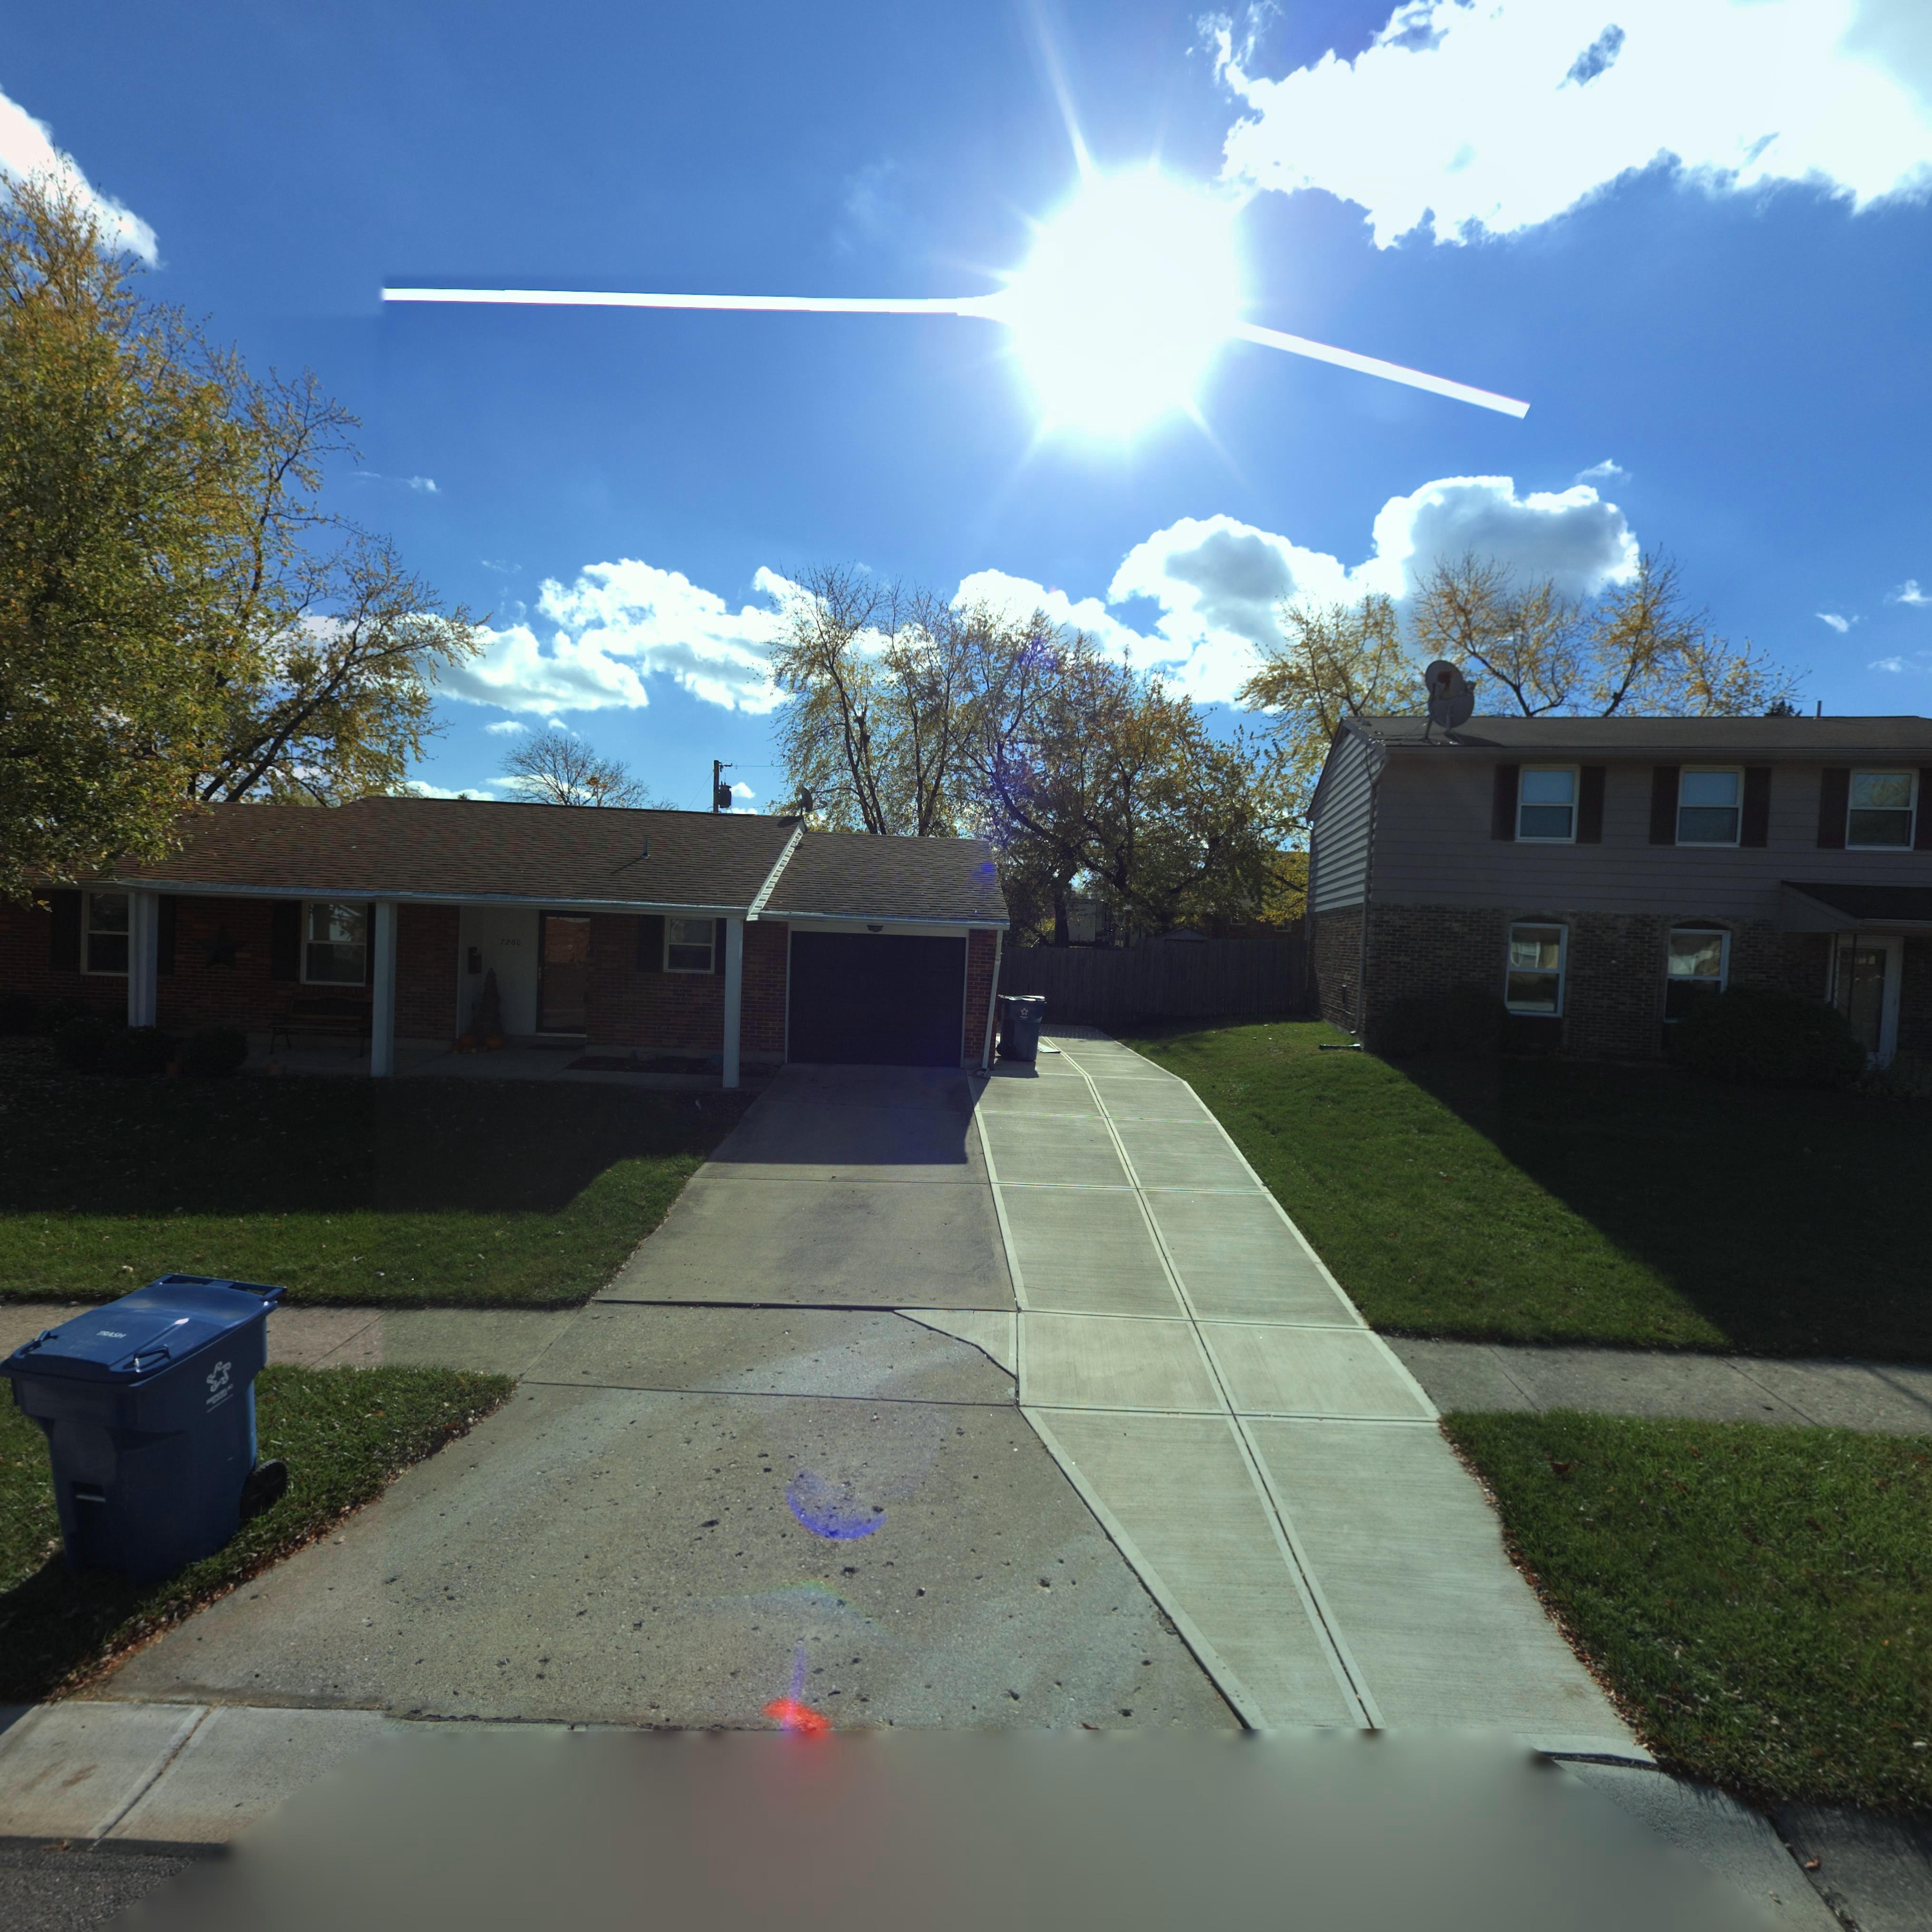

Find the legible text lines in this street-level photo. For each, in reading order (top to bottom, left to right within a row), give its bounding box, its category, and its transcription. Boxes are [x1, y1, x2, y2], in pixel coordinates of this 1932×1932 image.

[499, 938, 522, 947] StreetNumber: 7260